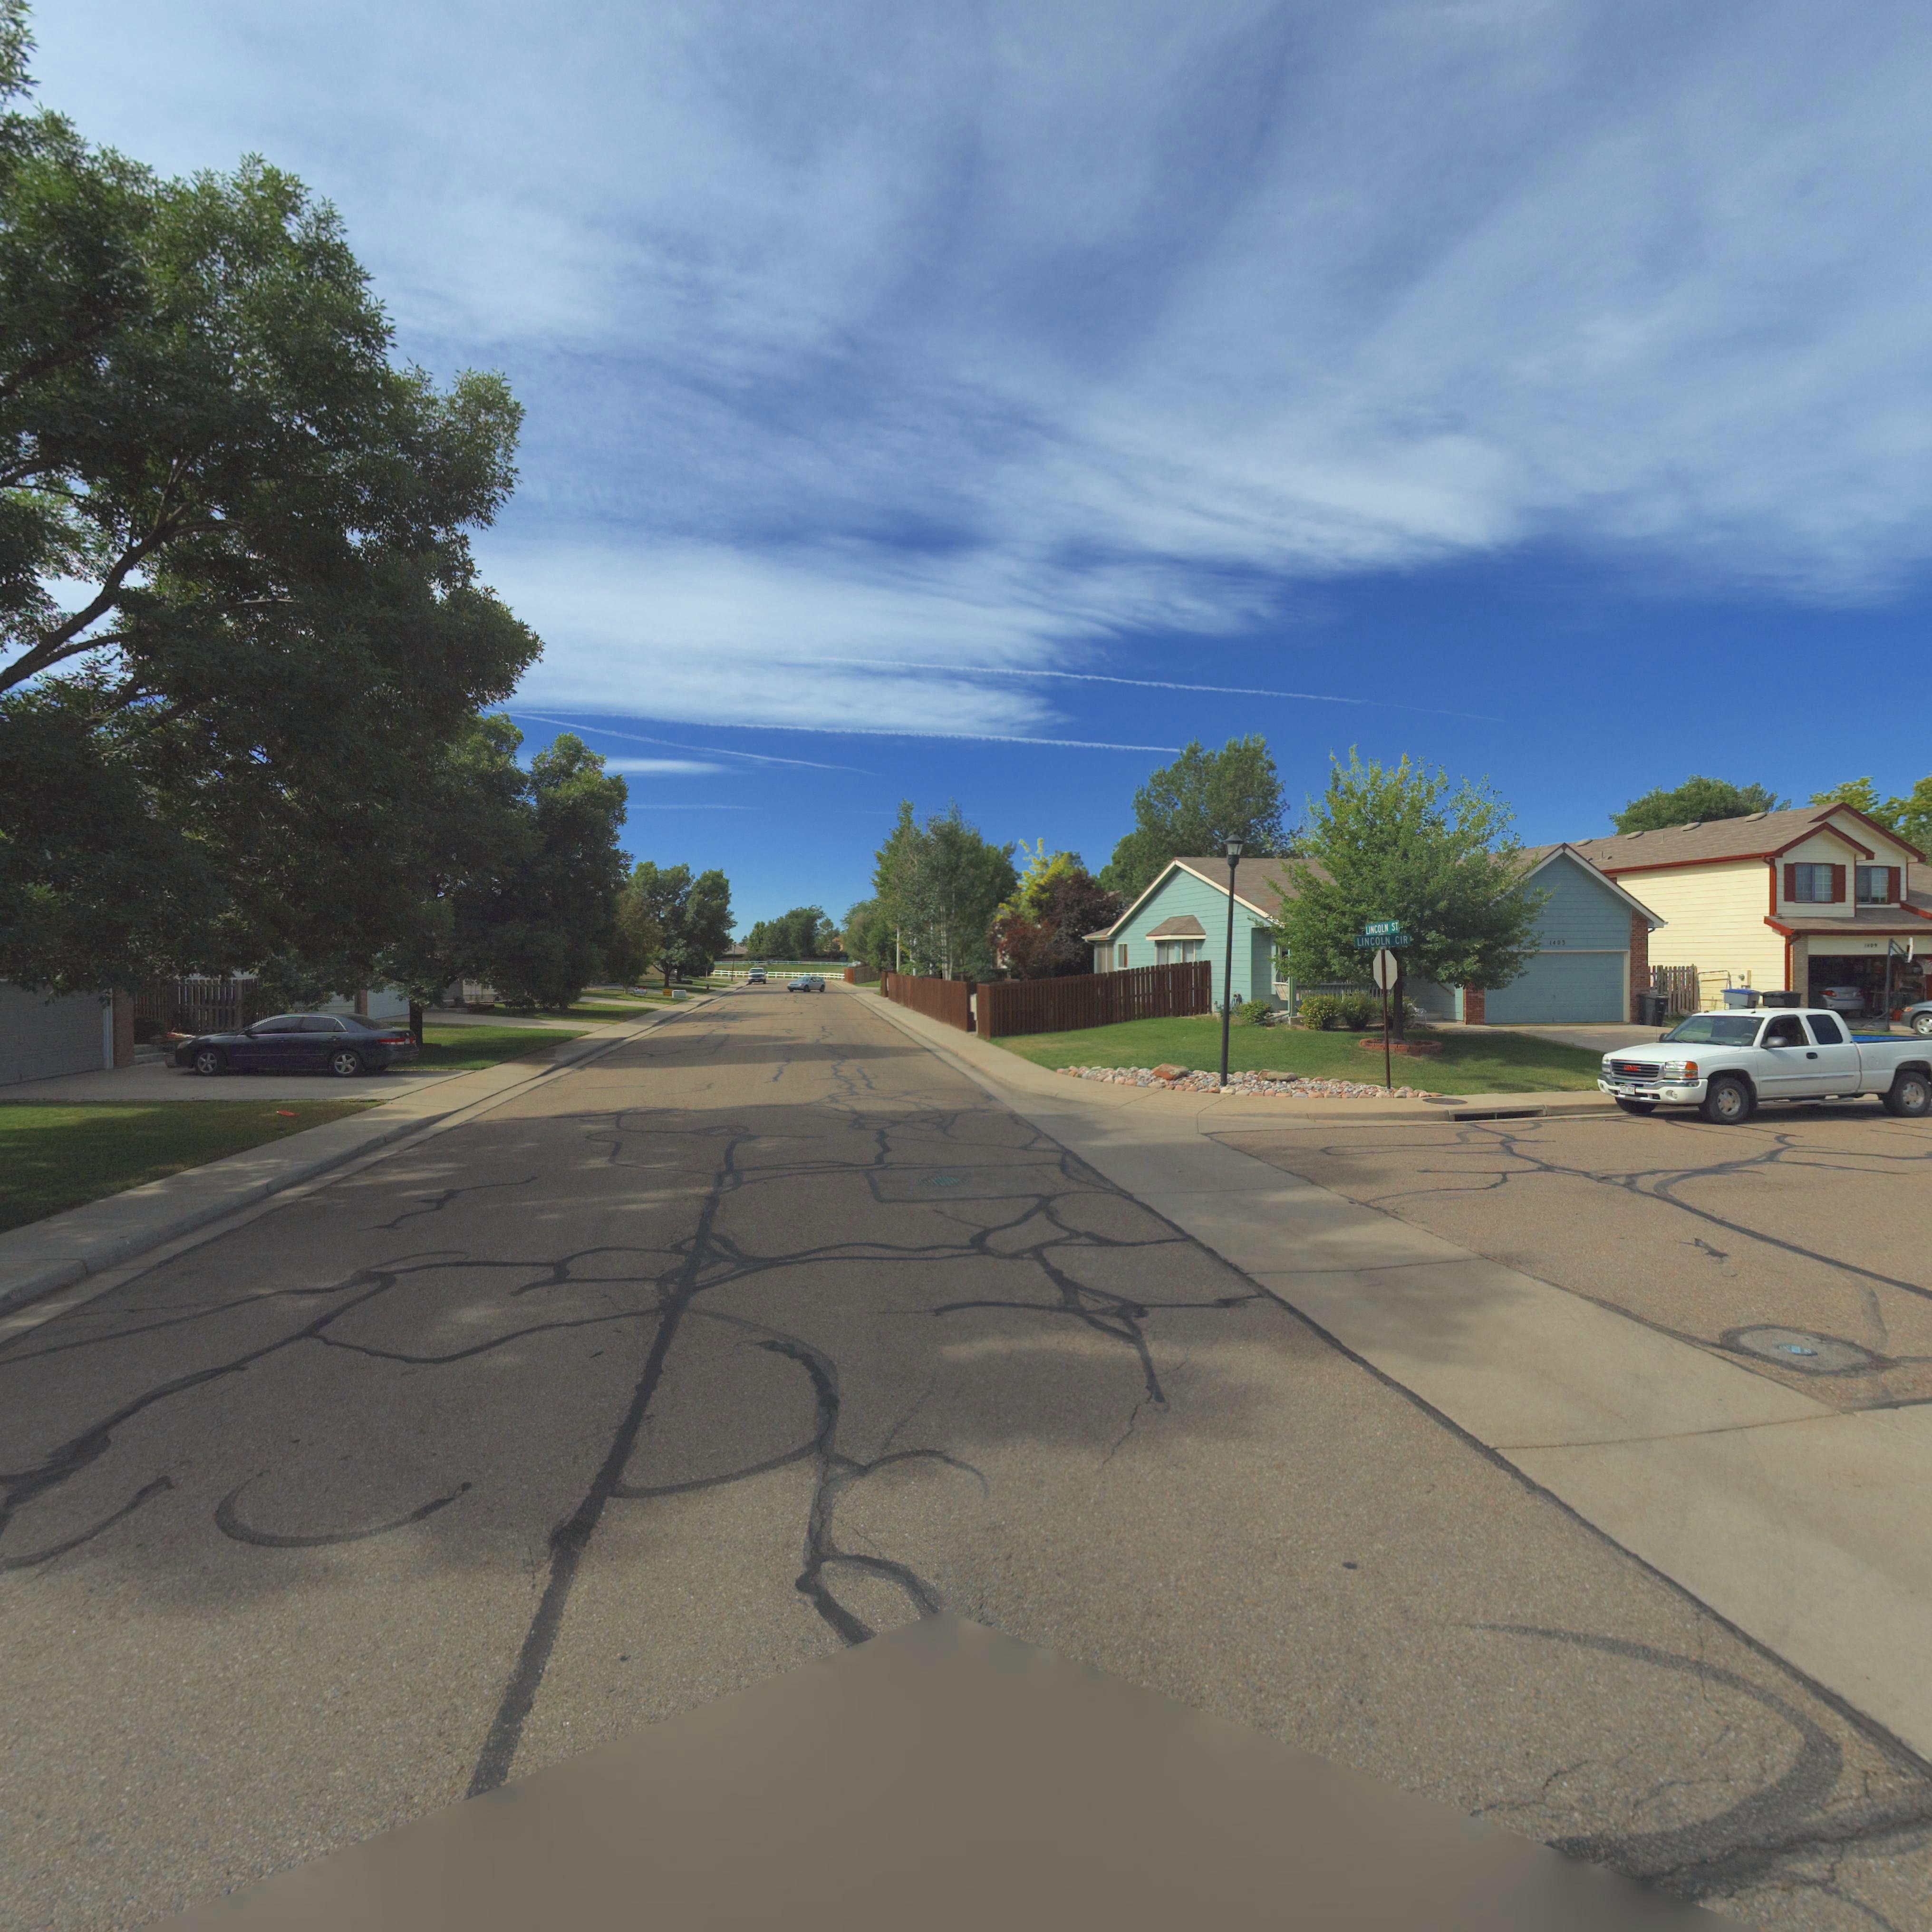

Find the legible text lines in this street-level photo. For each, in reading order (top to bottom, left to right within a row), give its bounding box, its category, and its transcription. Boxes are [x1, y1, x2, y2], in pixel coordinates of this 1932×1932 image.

[1365, 921, 1399, 935] StreetName: LINCOLN ST
[1356, 935, 1408, 947] StreetName: LINCOLN CIR
[1549, 939, 1565, 946] StreetNumber: 1403
[1863, 942, 1878, 948] StreetNumber: 1409